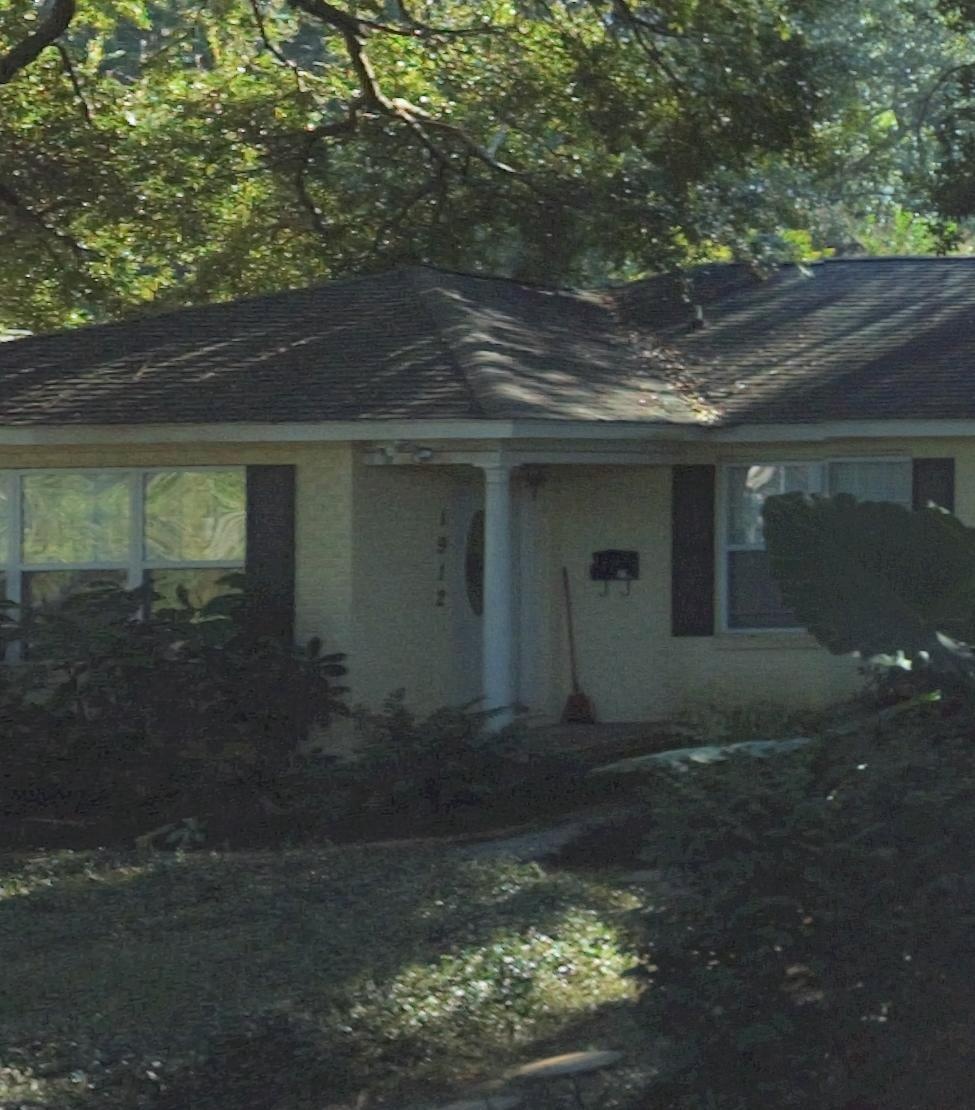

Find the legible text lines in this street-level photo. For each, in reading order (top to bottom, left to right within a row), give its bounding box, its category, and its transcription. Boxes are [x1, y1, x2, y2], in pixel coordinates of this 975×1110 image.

[433, 508, 450, 611] StreetNumber: 1912